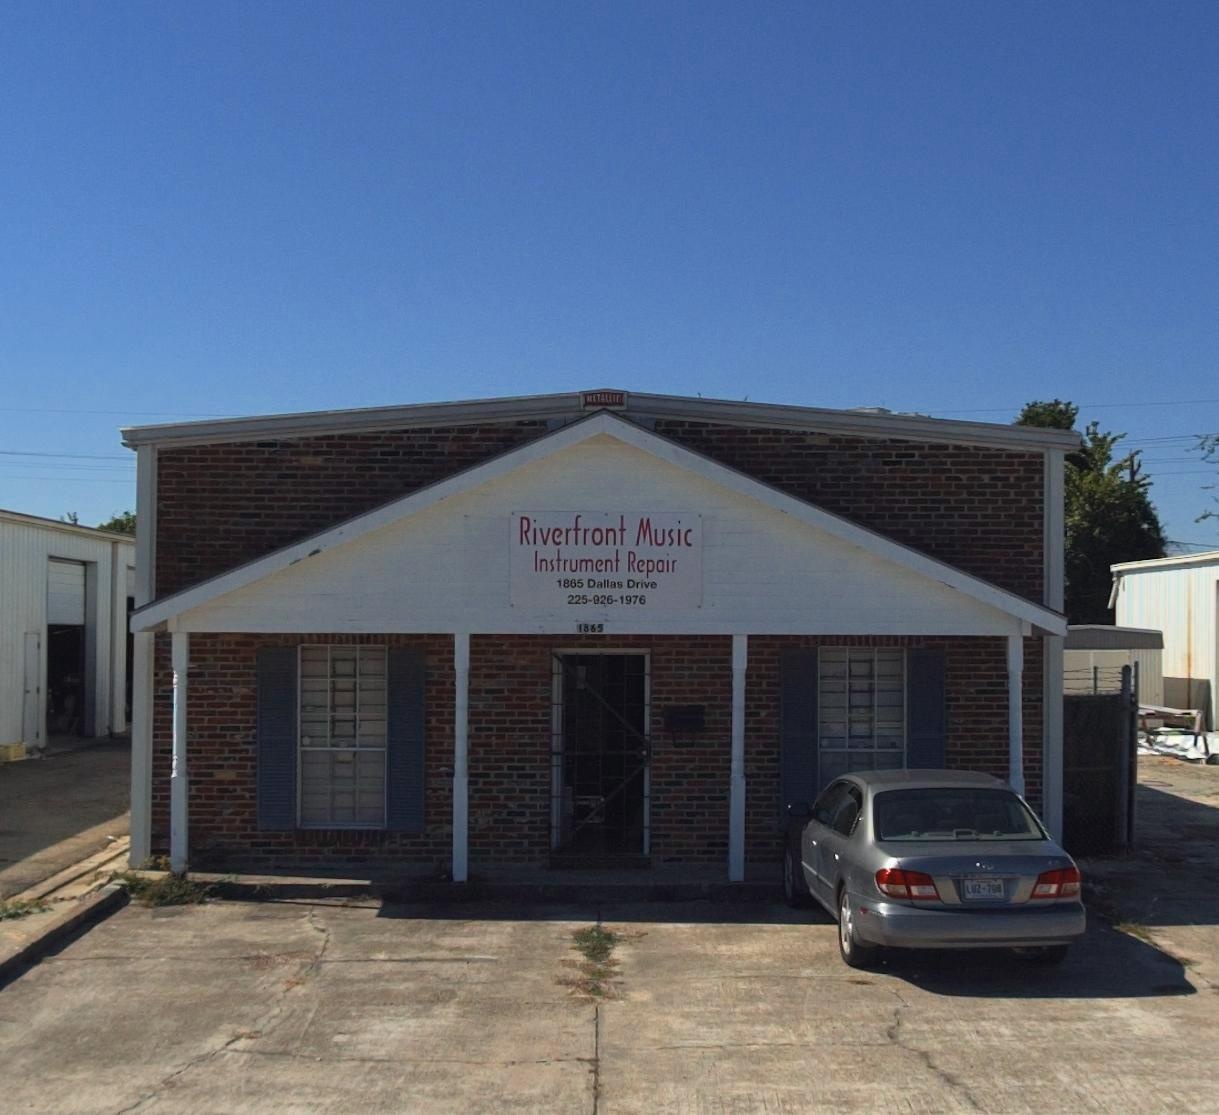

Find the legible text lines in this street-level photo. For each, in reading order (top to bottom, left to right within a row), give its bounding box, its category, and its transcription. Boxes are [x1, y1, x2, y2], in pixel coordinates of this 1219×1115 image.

[584, 392, 623, 405] None: METALLIC
[517, 512, 695, 550] BusinessName: Riverfront Music
[531, 547, 680, 580] BusinessName: Instrument Repair
[553, 575, 585, 591] StreetNumber: 1865
[585, 576, 659, 591] StreetName: Dallas Drive
[564, 592, 649, 607] None: 225-926-1976
[575, 621, 606, 635] StreetNumber: 1865
[964, 882, 1006, 897] None: LUZ 700